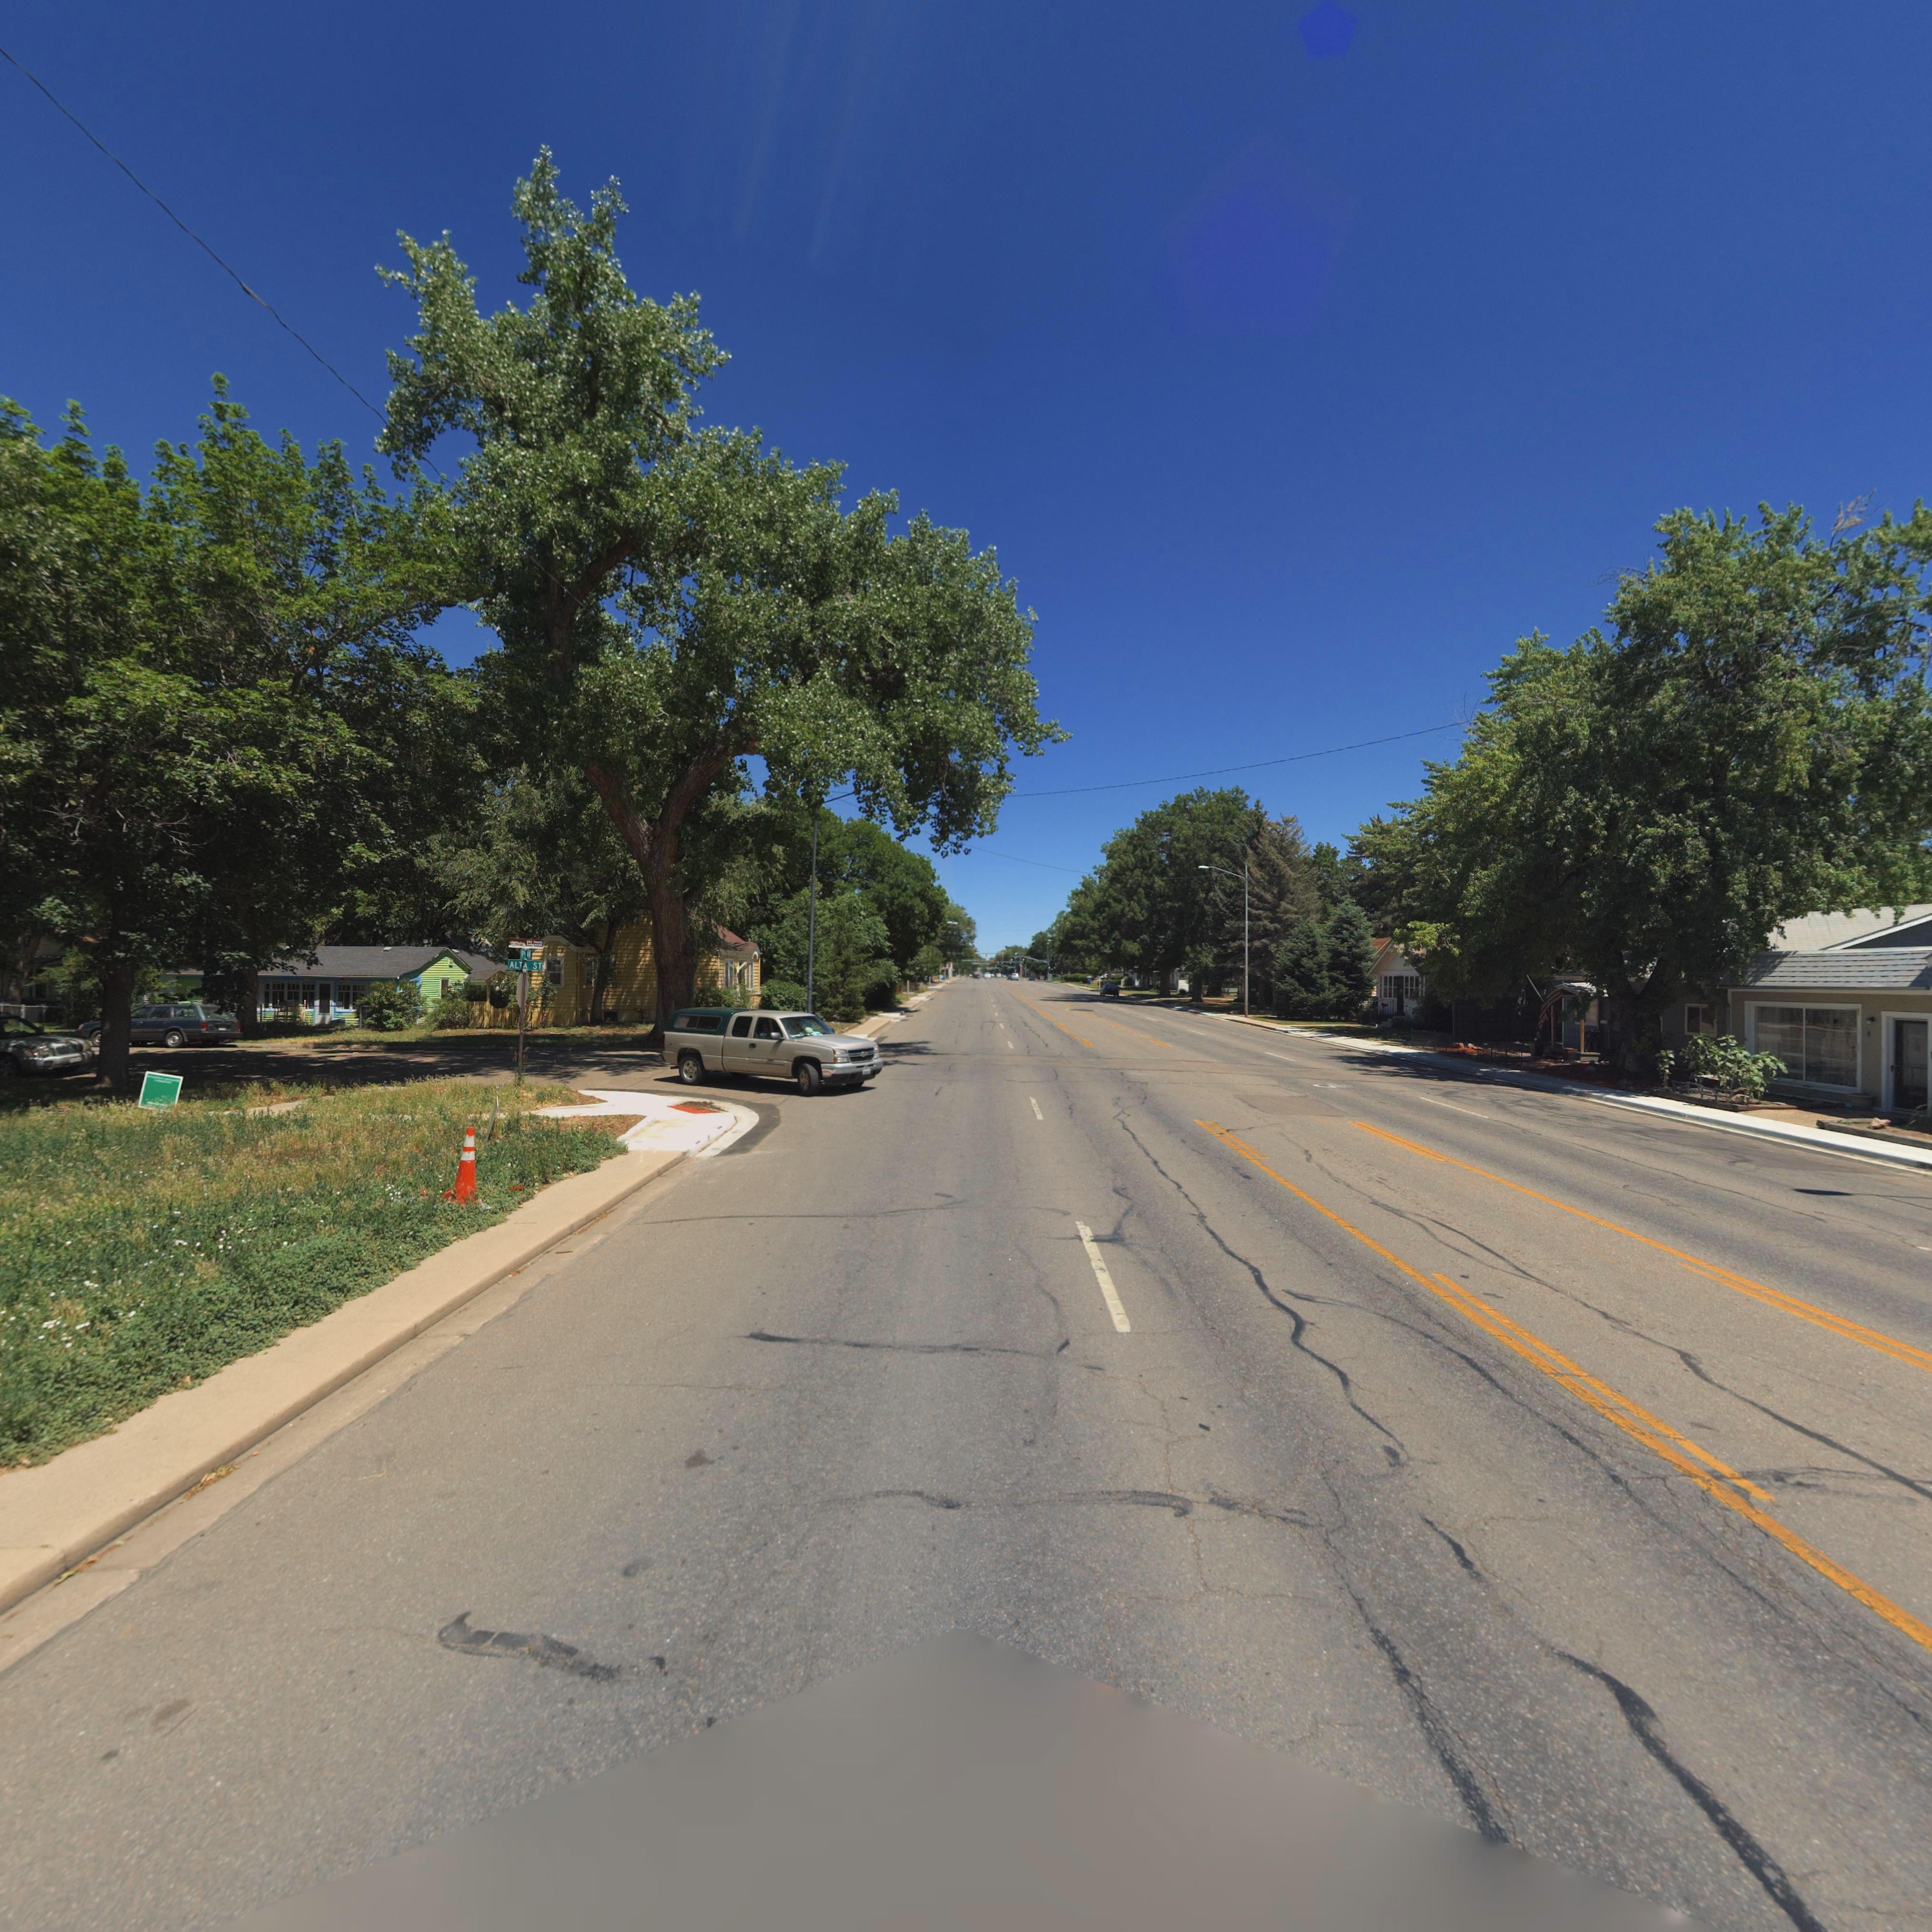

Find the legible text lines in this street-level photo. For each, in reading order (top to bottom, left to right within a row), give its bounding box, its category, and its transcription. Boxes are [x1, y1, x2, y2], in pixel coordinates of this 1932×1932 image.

[509, 961, 542, 969] StreetName: ALTA ST